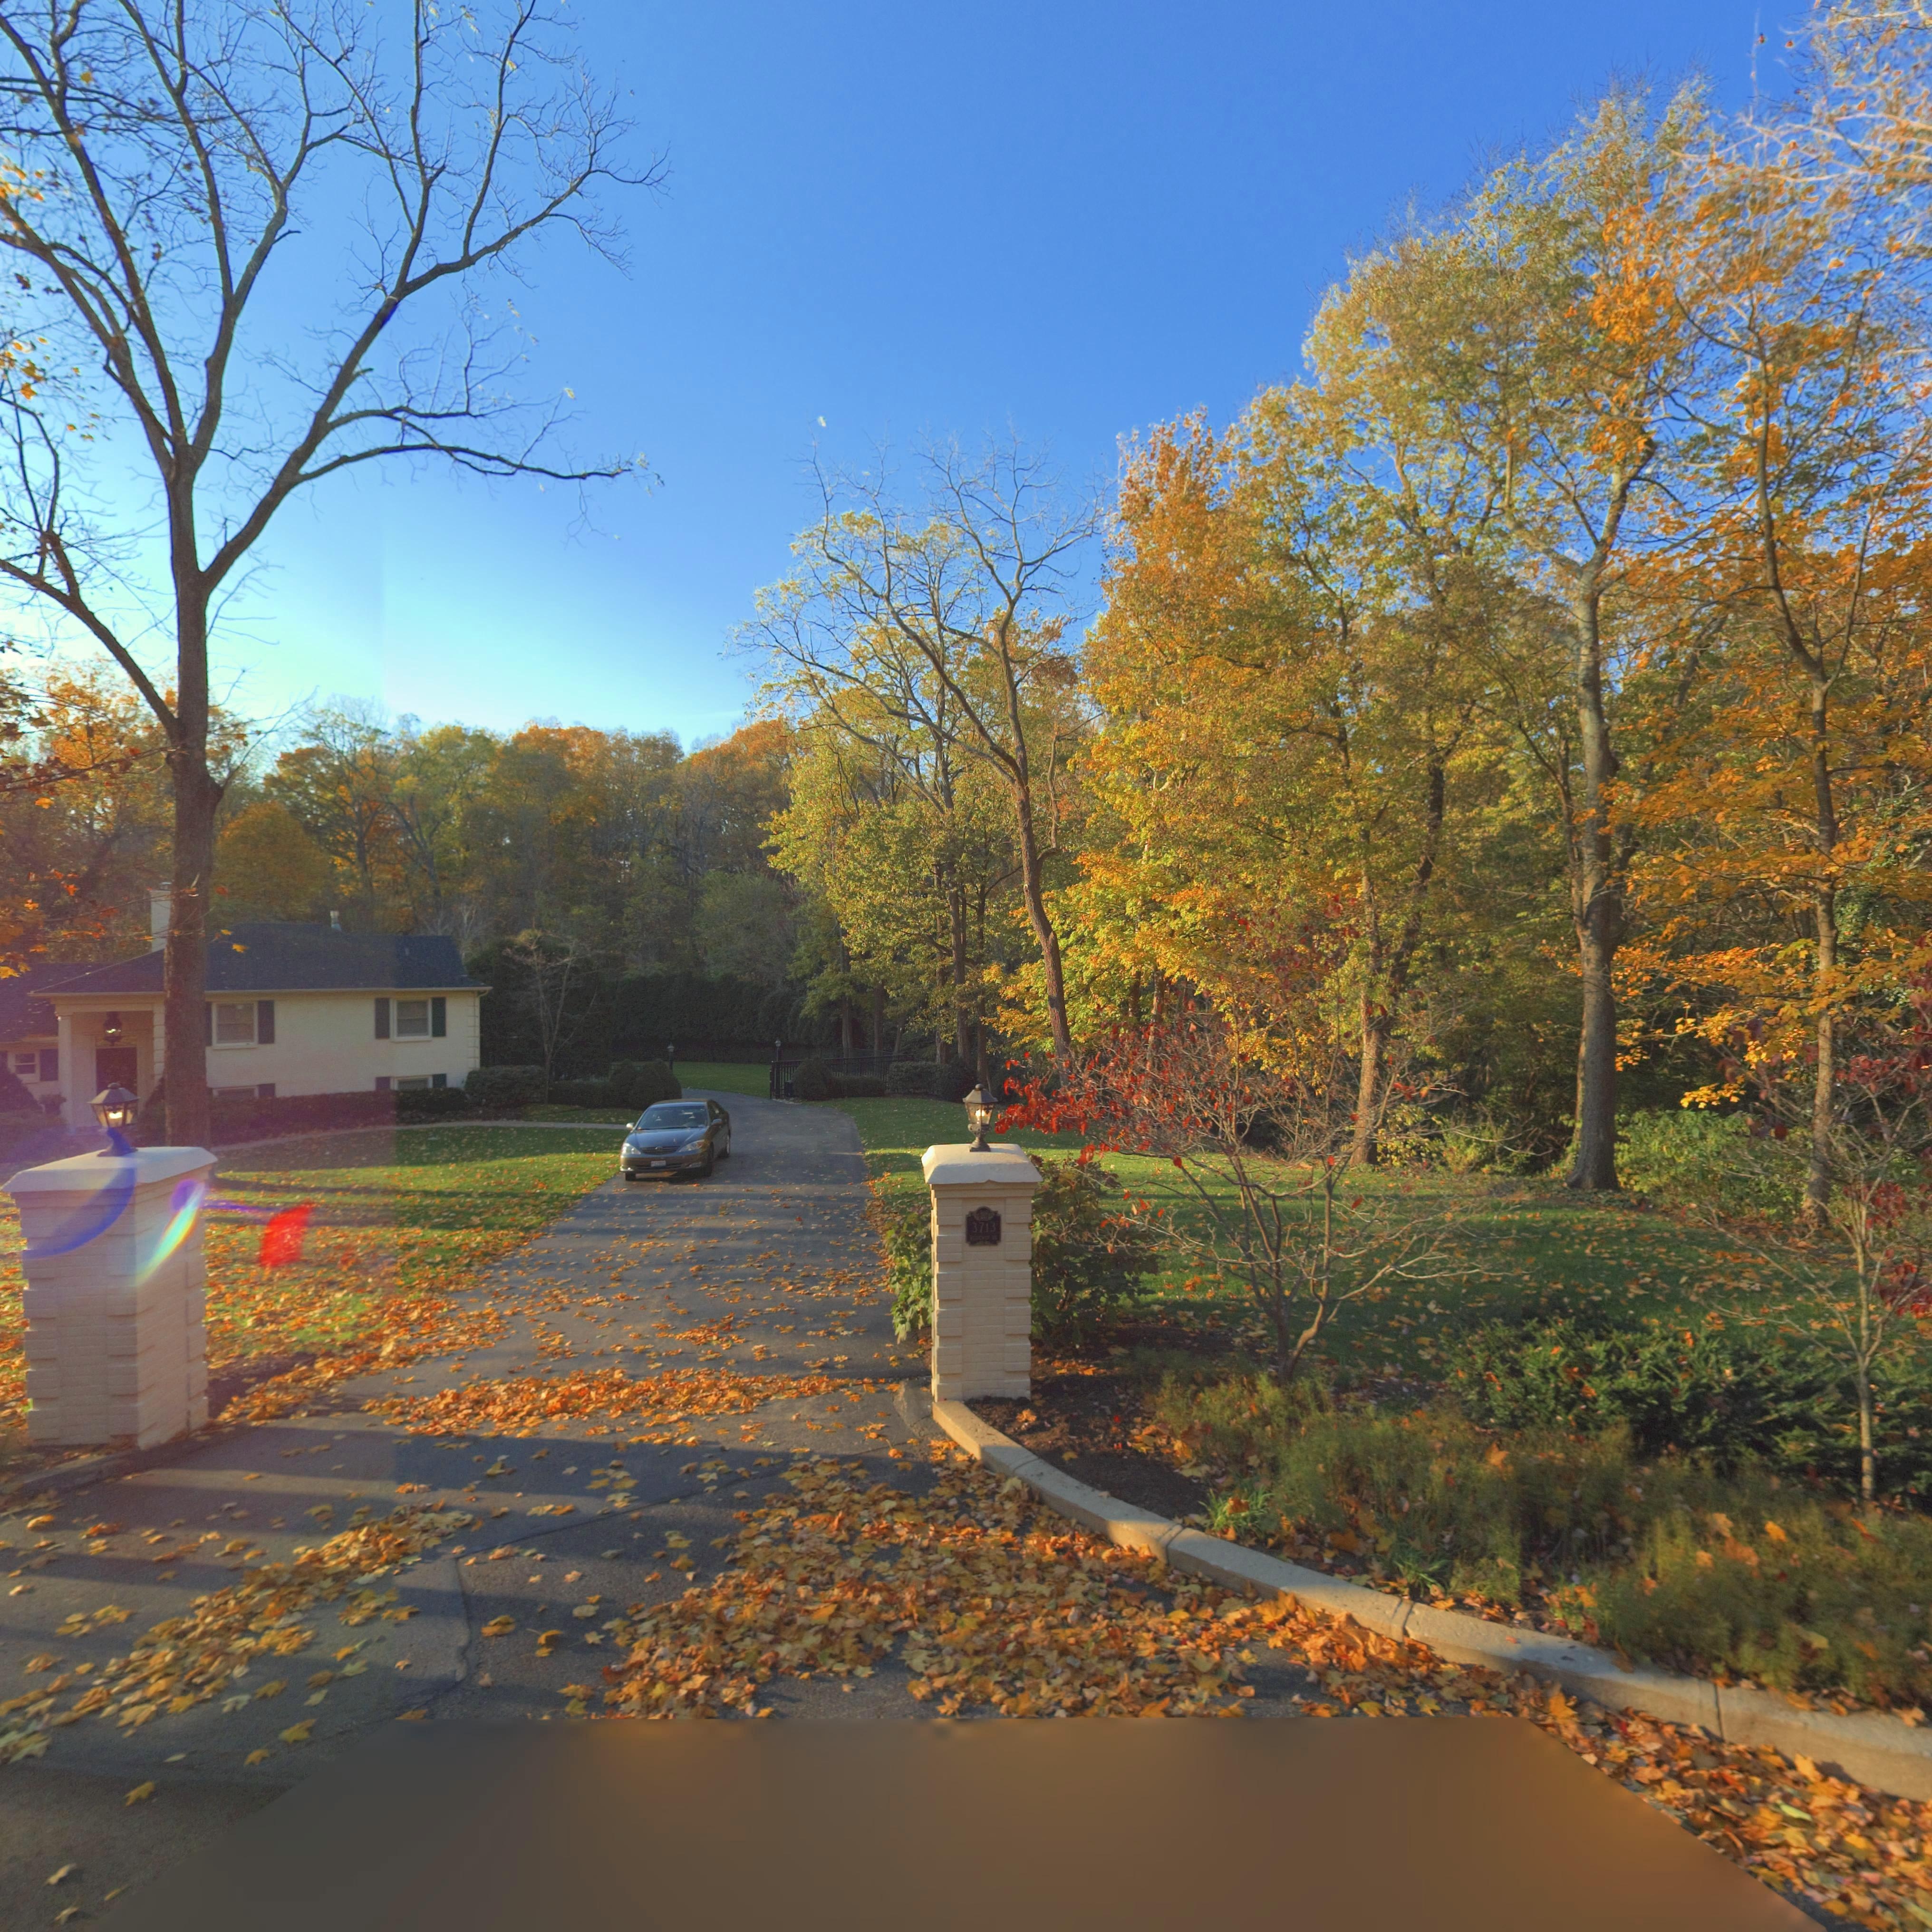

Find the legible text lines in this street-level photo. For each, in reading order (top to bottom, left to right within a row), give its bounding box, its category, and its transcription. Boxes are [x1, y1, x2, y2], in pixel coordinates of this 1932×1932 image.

[971, 1221, 997, 1233] StreetNumber: 3713